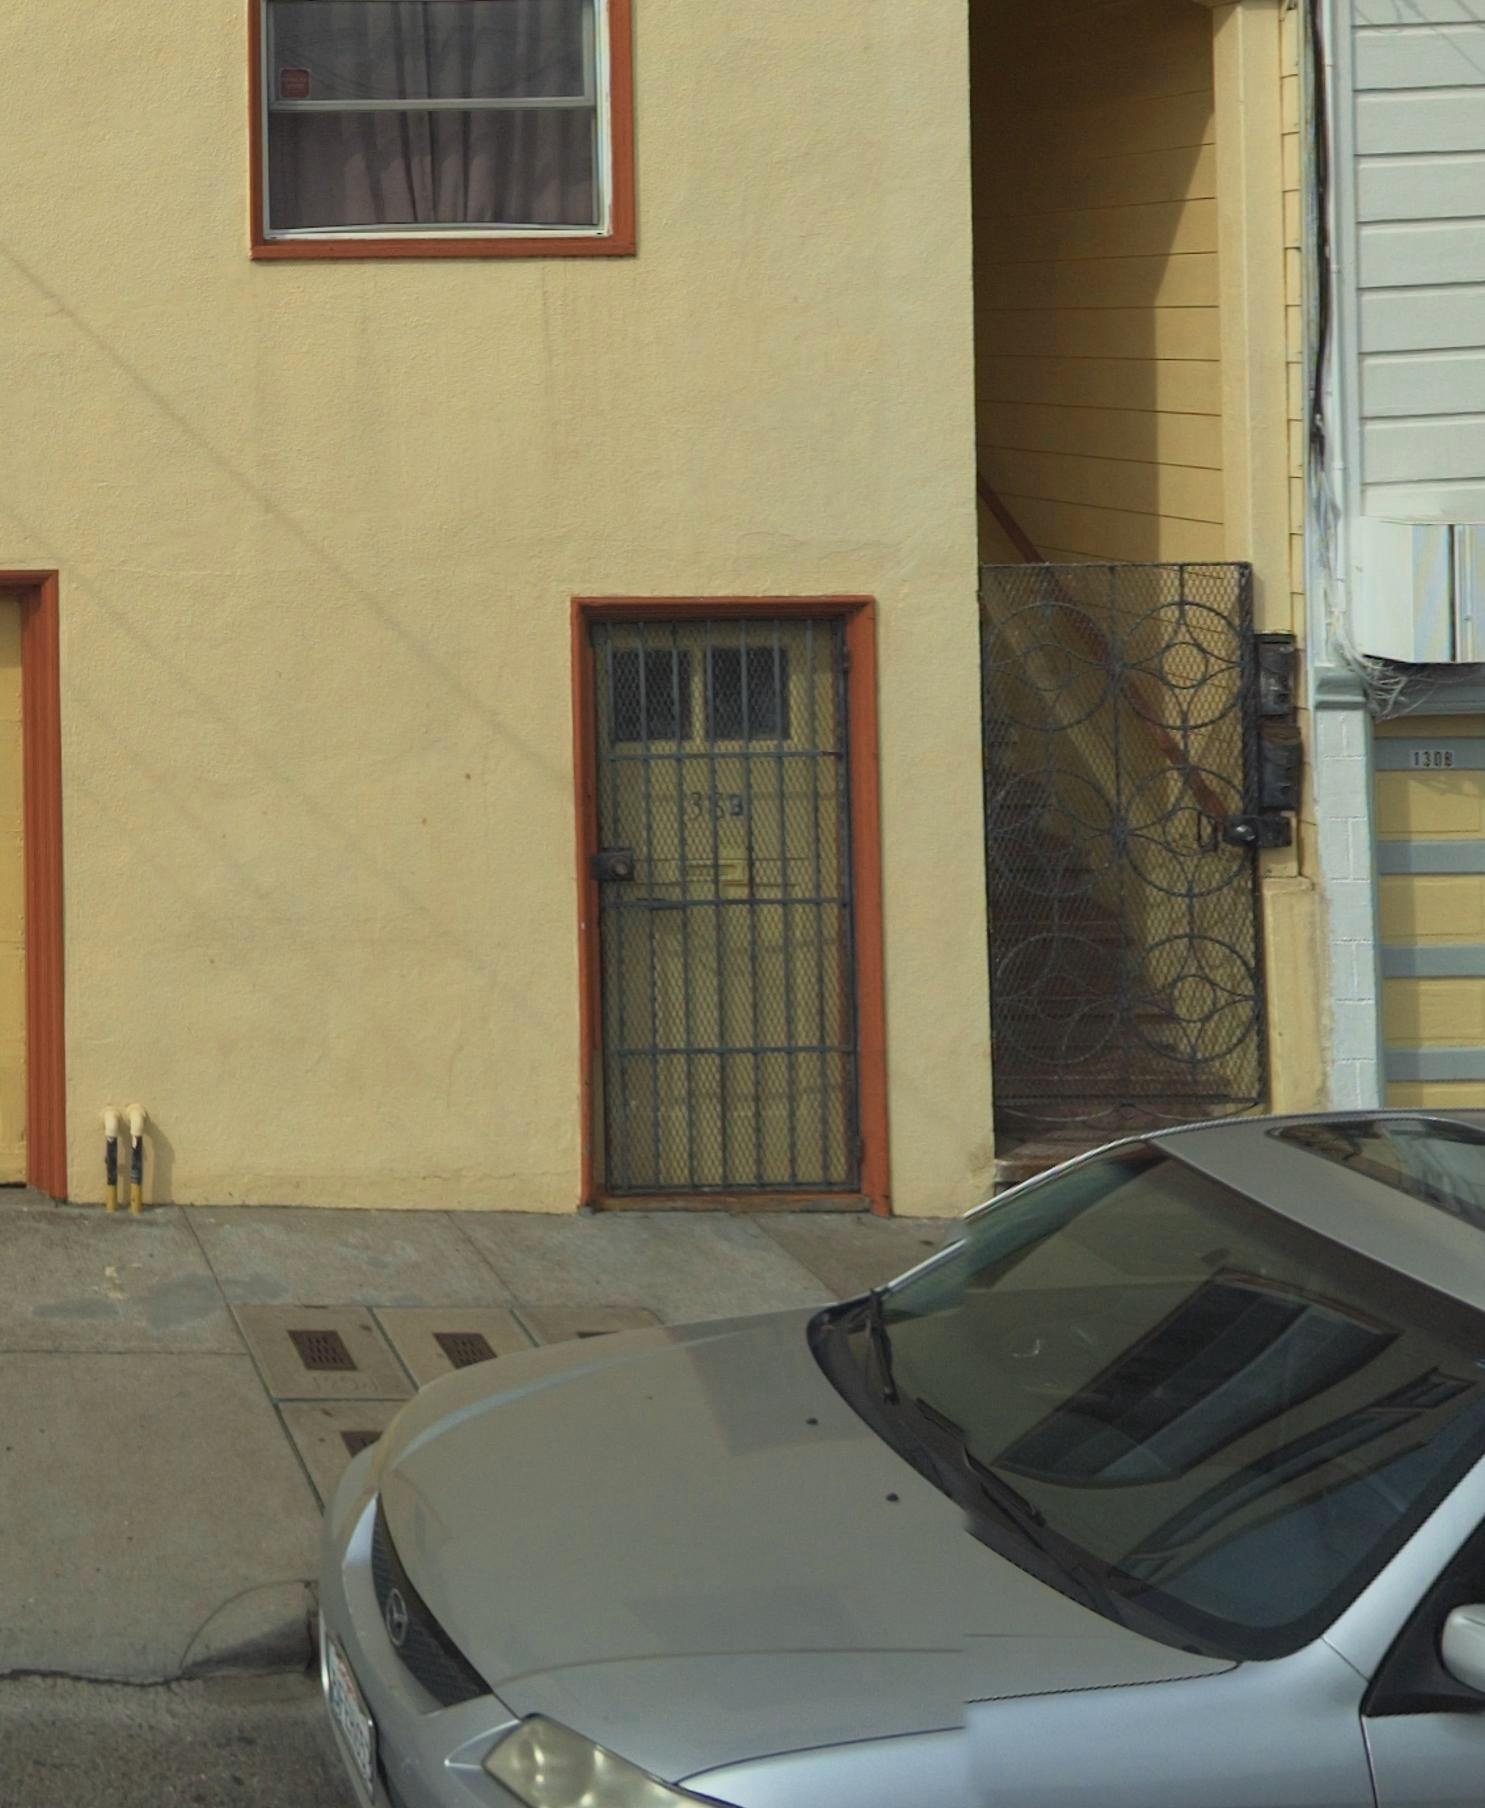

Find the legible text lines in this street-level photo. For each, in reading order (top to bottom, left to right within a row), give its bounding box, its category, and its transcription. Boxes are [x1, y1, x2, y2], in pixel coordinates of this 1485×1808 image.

[1412, 749, 1455, 768] StreetNumber: 130B
[688, 788, 747, 823] StreetNumber: 3*B